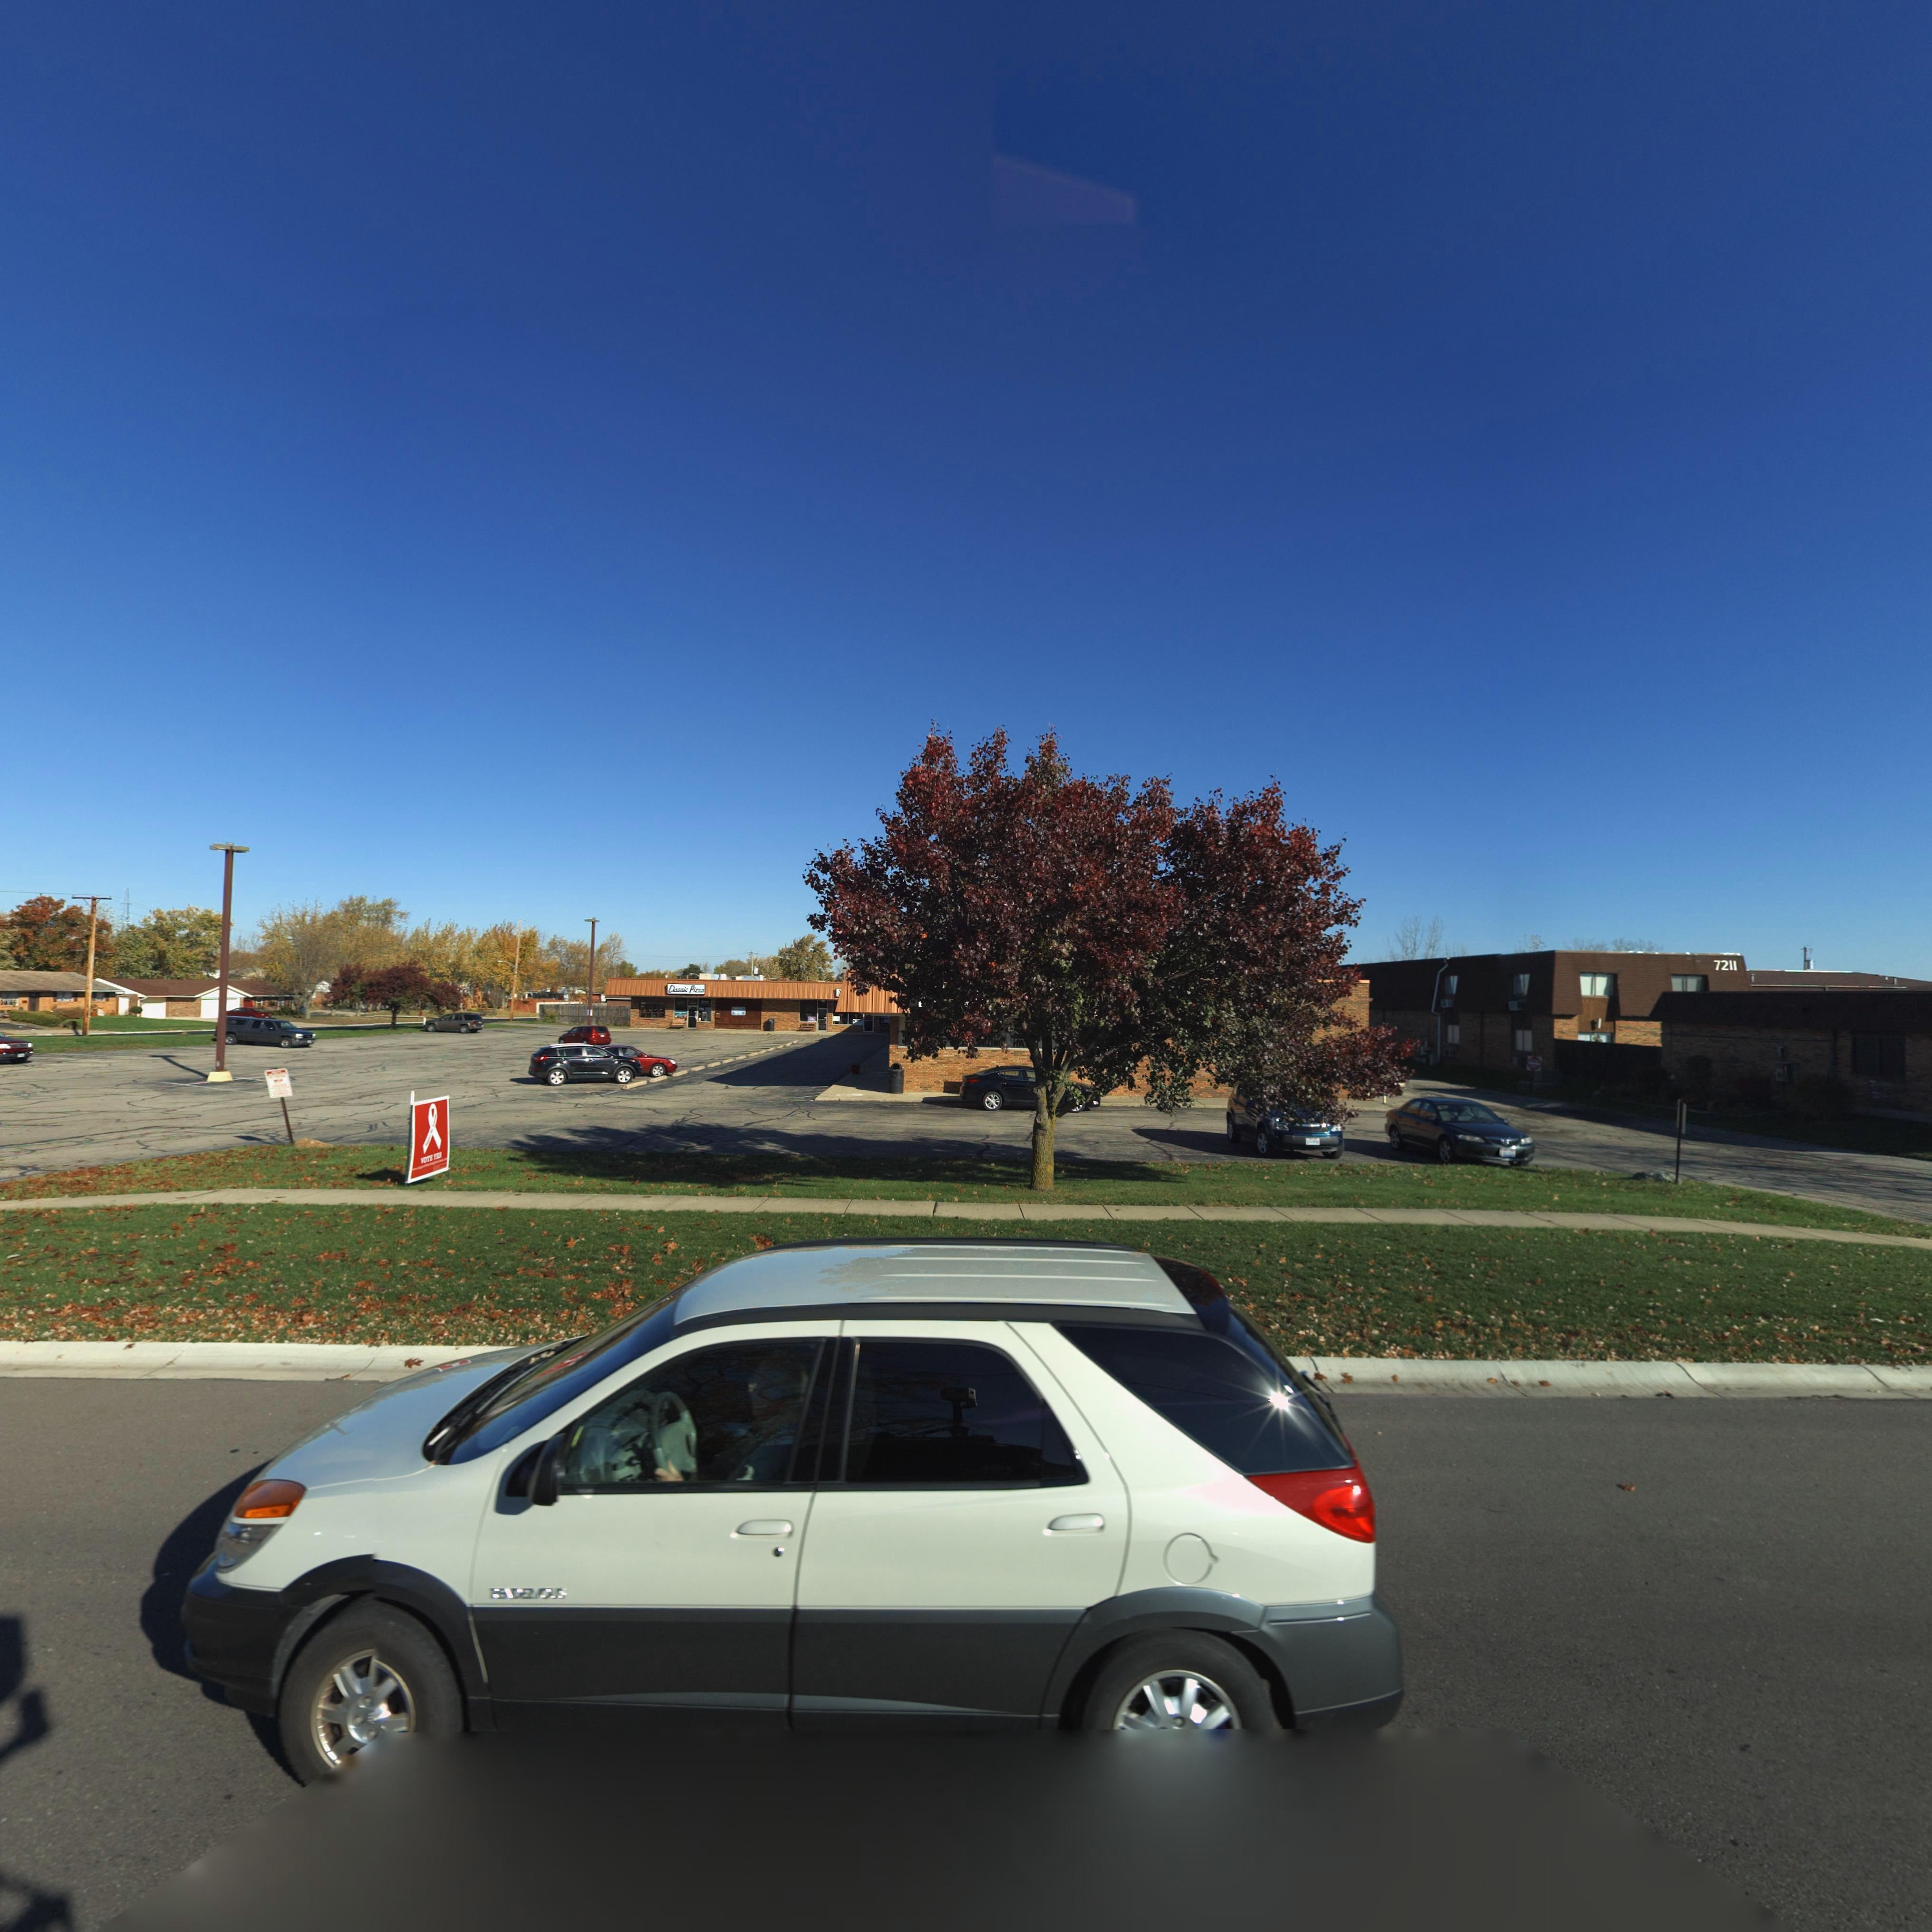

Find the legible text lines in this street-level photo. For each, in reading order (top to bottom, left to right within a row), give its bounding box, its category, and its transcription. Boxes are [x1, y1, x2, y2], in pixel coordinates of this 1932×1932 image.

[1712, 959, 1739, 972] StreetNumber: 7211
[667, 985, 705, 993] BusinessName: Classic Pizza